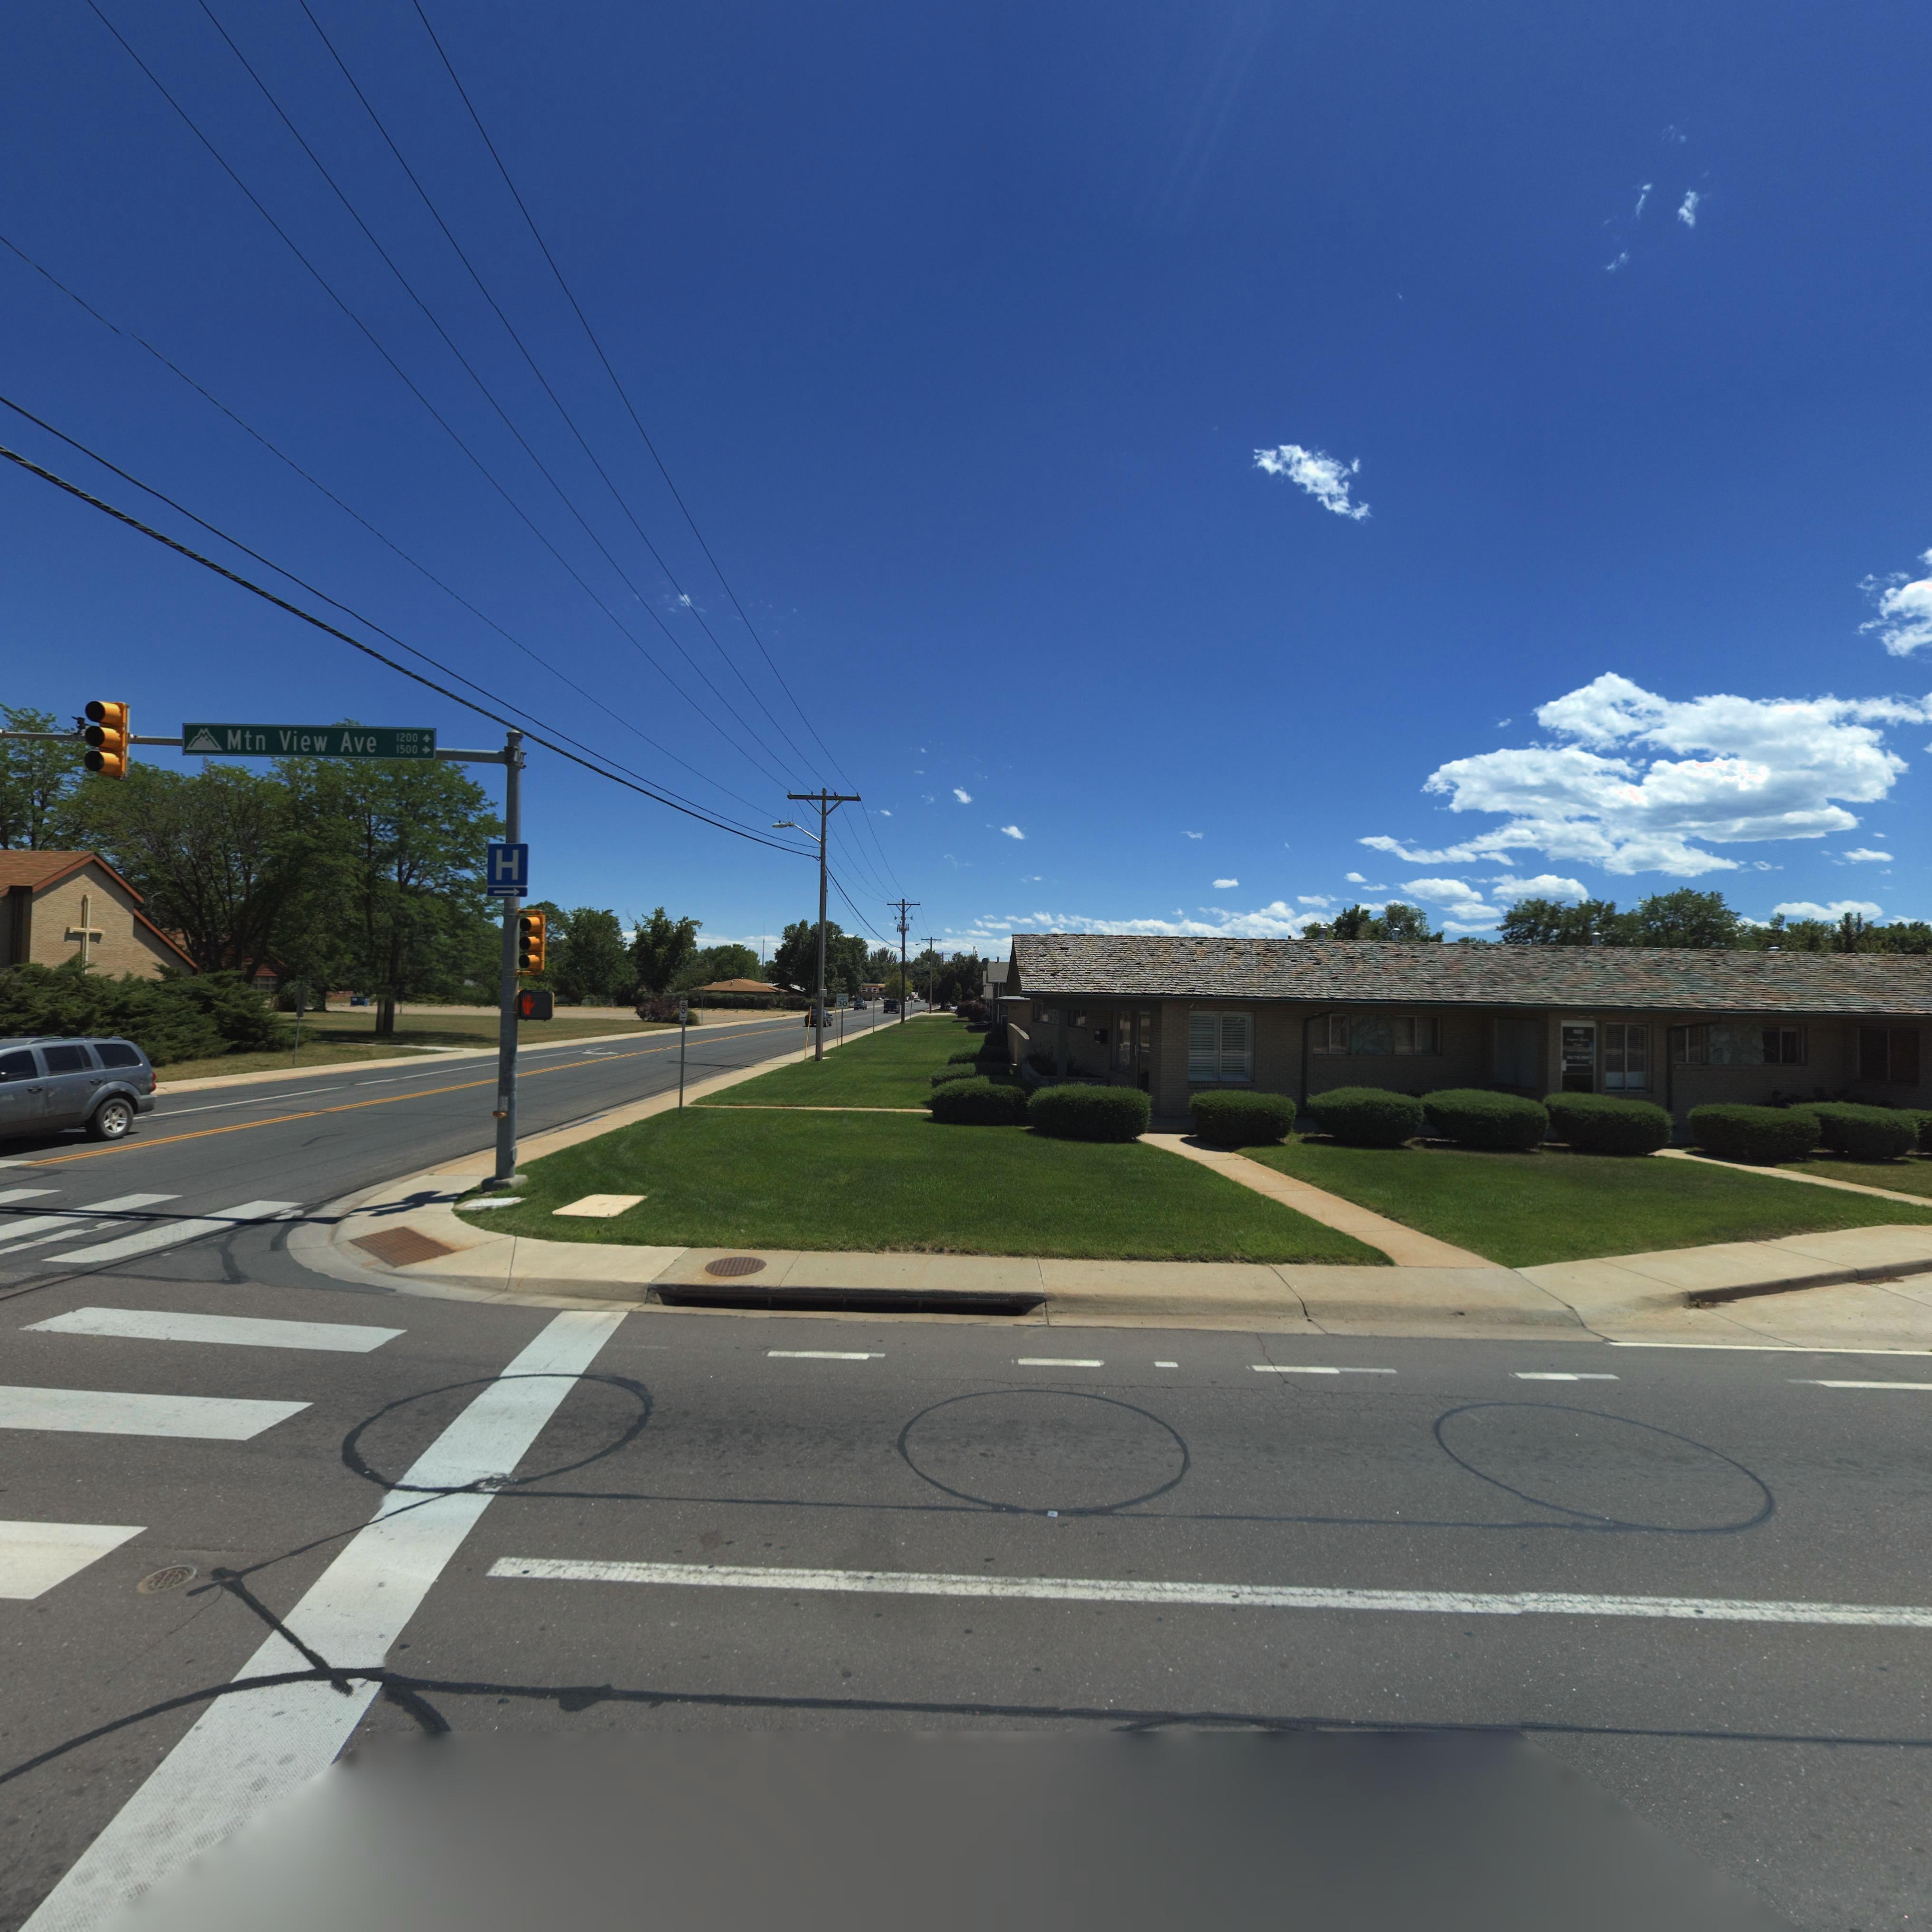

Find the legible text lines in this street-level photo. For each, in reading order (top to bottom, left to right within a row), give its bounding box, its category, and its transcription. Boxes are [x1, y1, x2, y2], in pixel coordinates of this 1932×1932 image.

[226, 728, 378, 753] StreetName: Mtn View Ave
[396, 732, 418, 742] StreetNumberRange: 1200
[396, 744, 431, 754] StreetNumberRange: 1500->